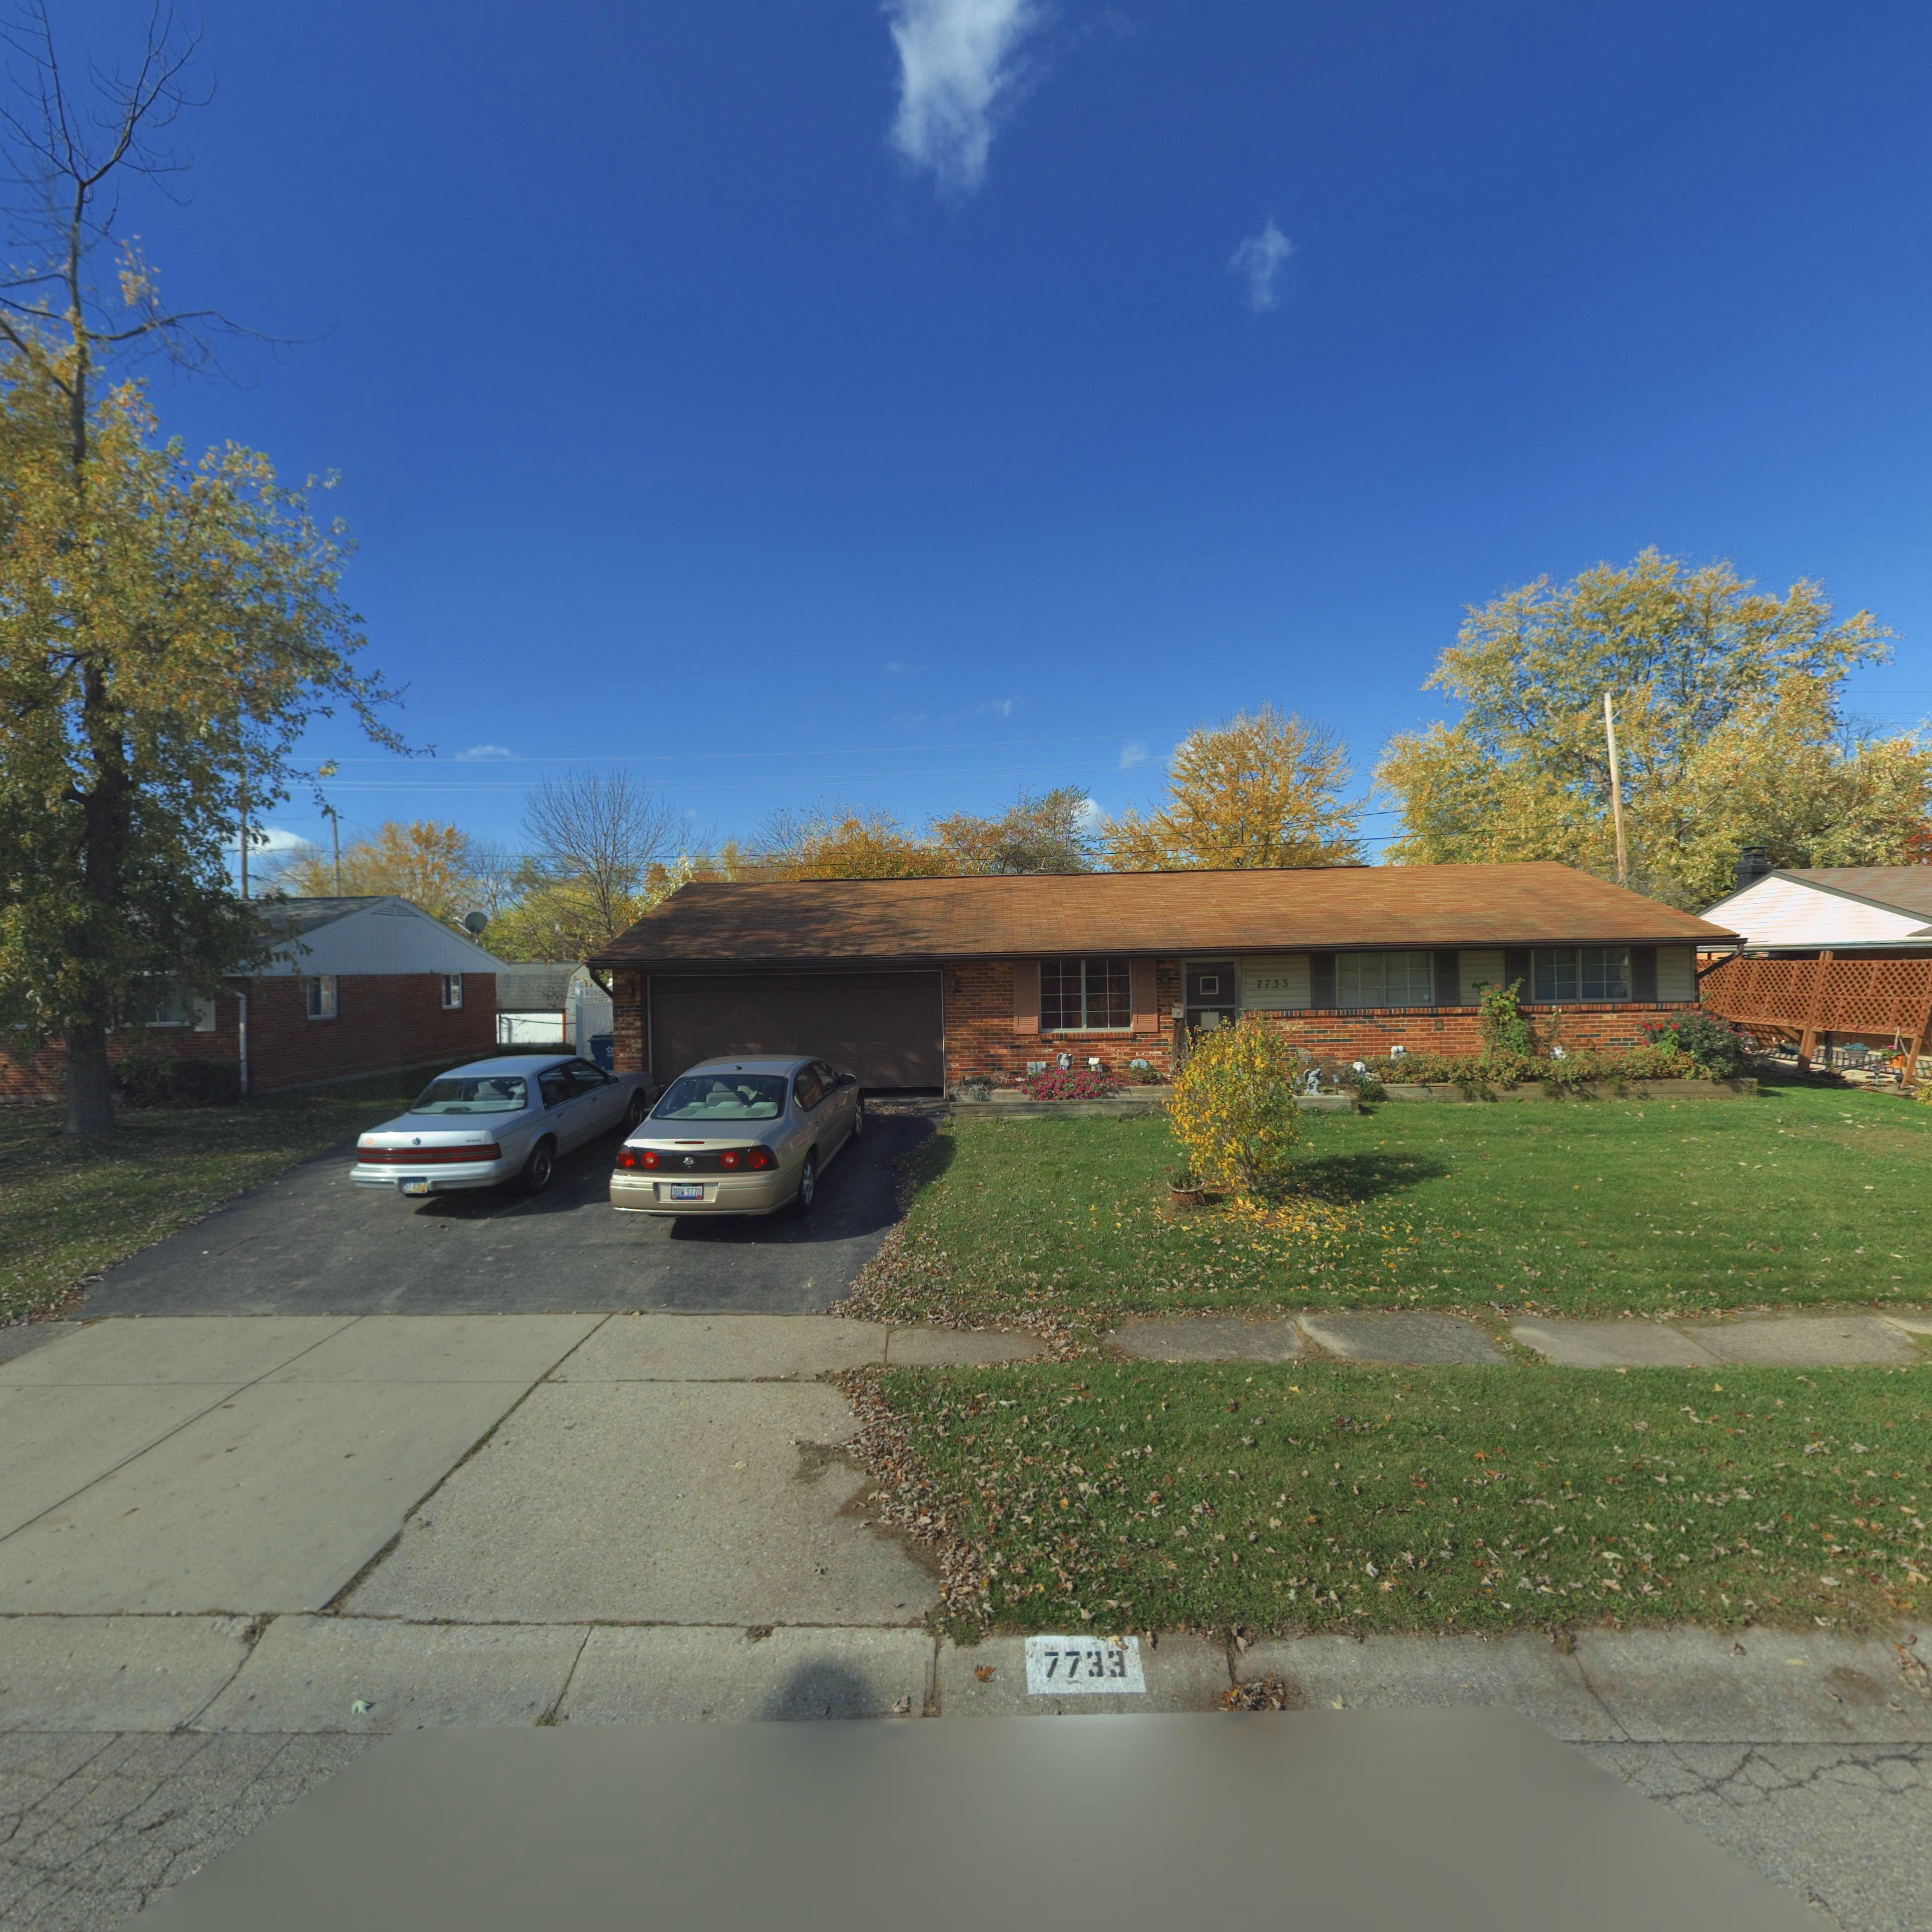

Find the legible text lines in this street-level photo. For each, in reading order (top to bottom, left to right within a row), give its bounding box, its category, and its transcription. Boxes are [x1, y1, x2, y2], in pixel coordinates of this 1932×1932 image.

[1256, 977, 1290, 990] StreetNumber: 7733
[1041, 1649, 1128, 1681] StreetNumber: 7733